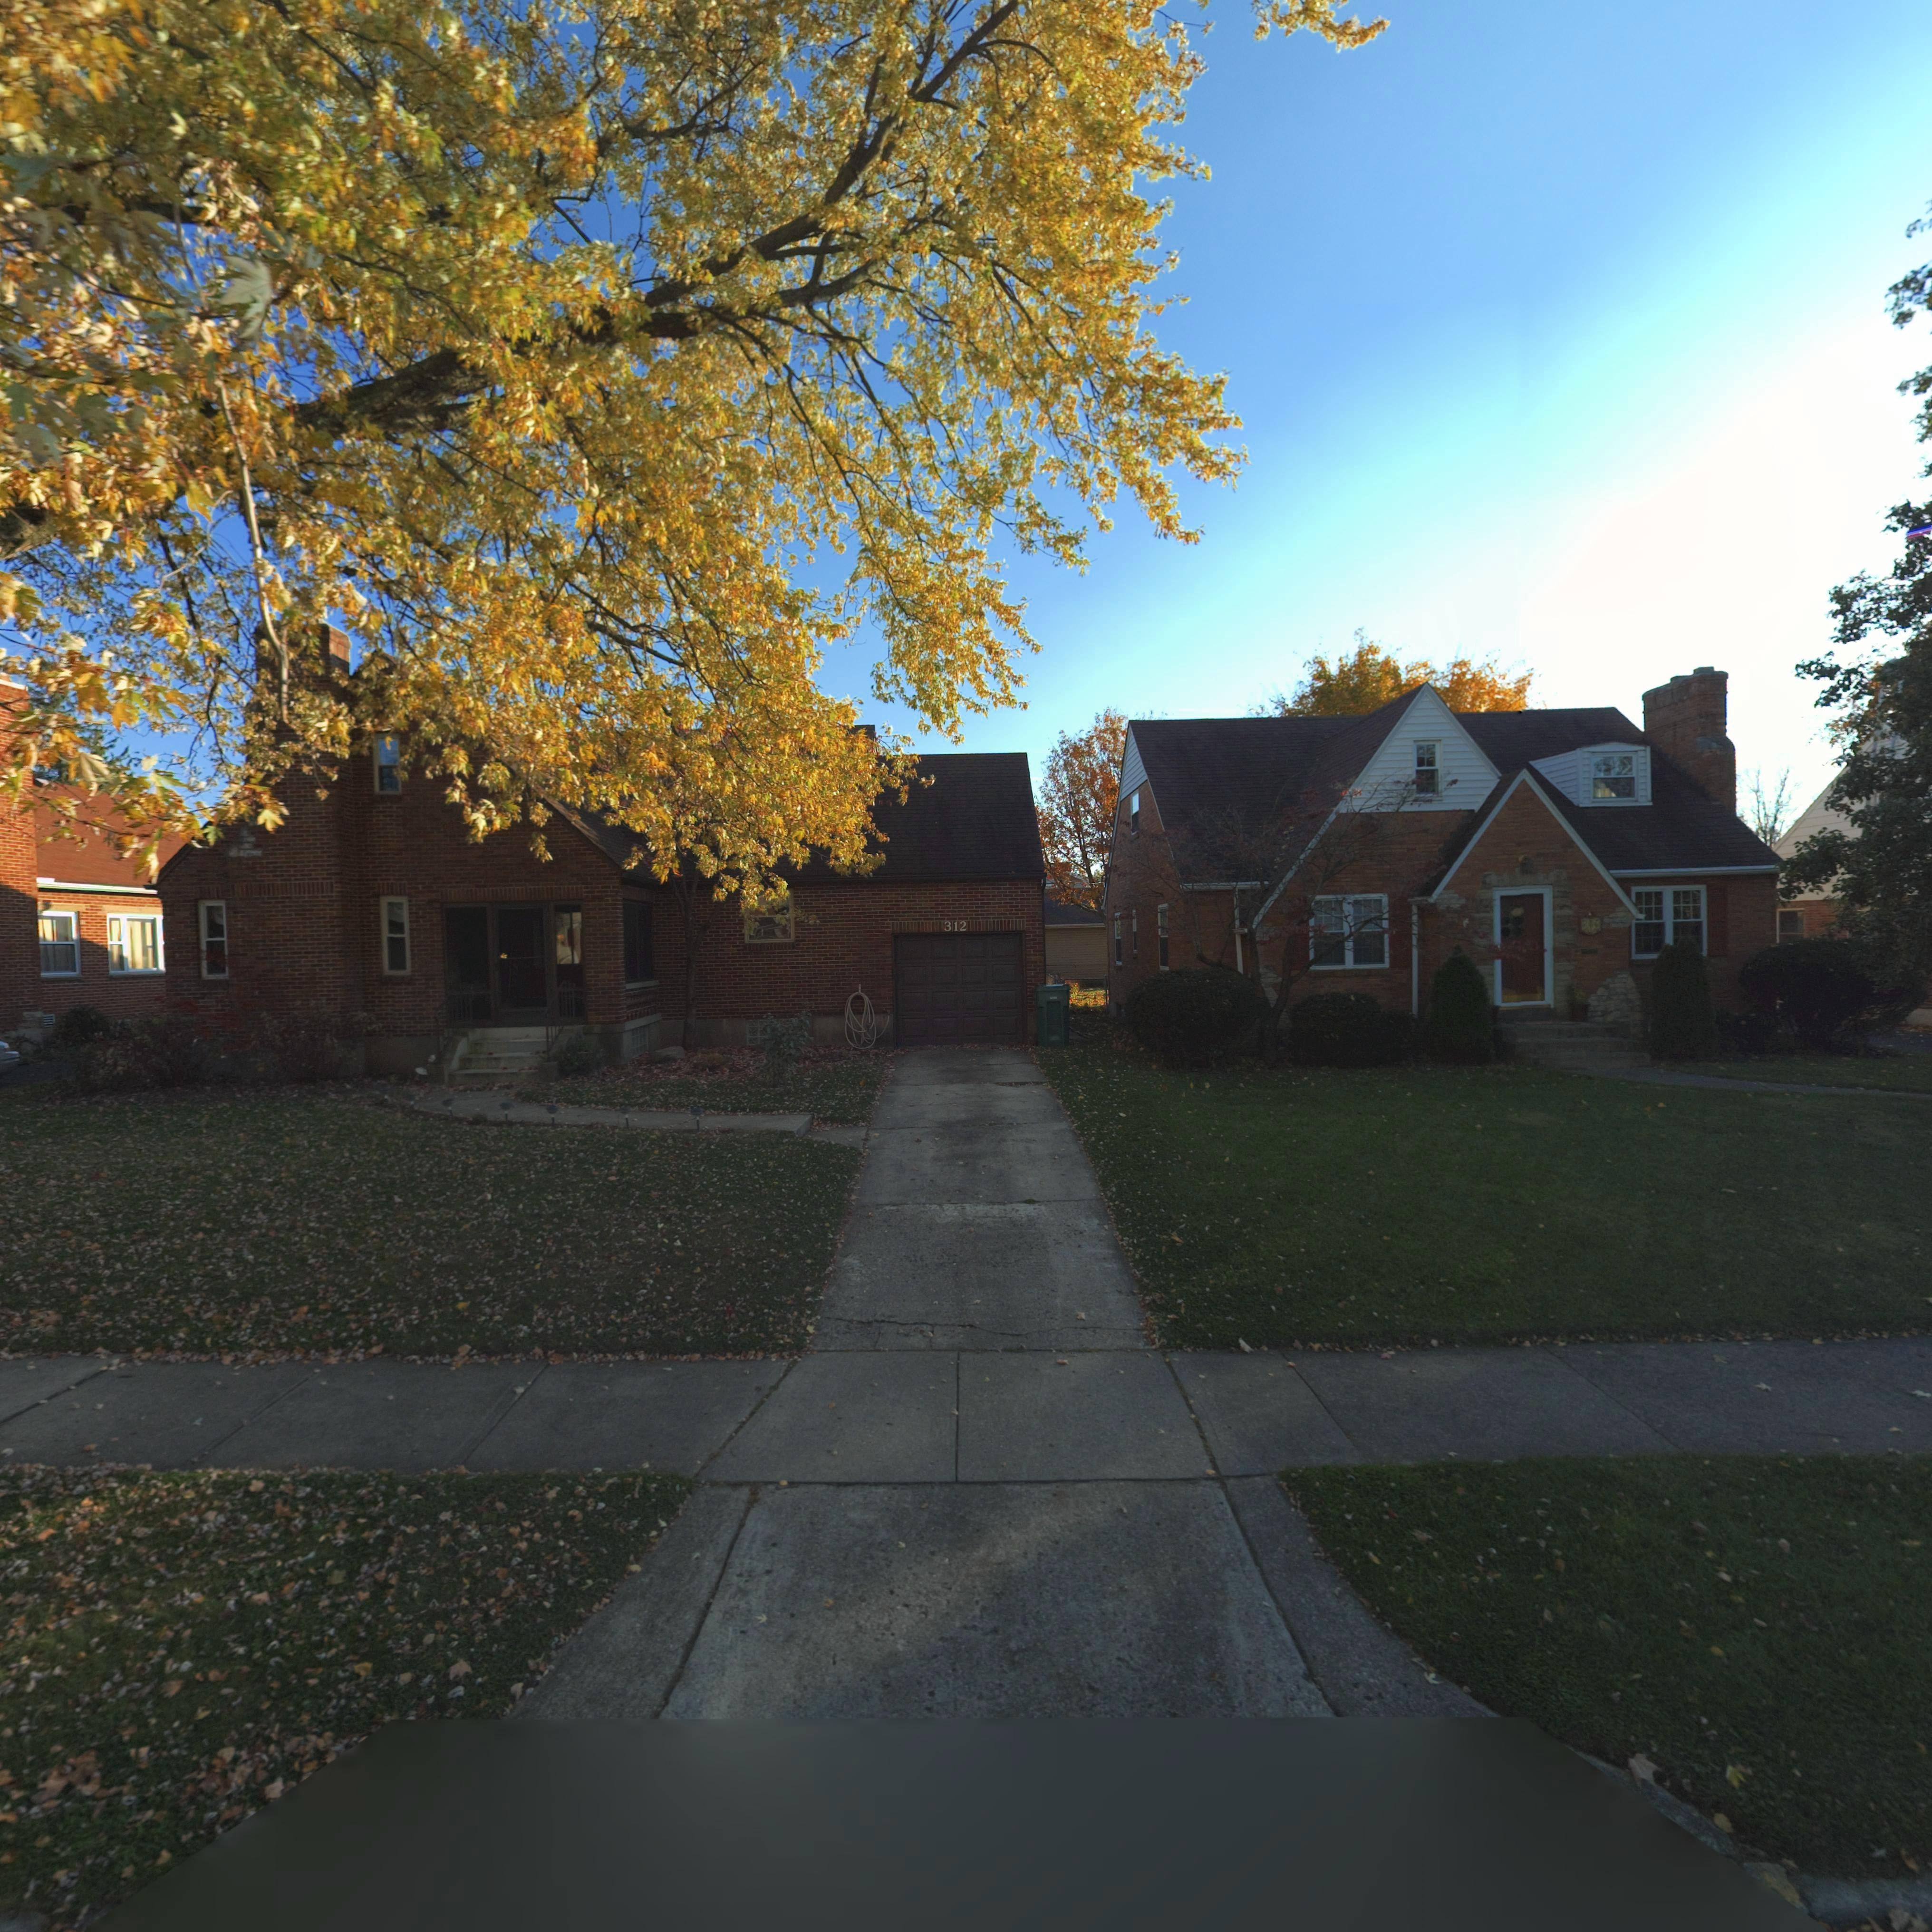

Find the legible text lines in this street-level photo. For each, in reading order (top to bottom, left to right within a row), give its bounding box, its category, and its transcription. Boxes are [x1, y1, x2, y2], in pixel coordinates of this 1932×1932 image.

[943, 919, 967, 933] StreetNumber: 312